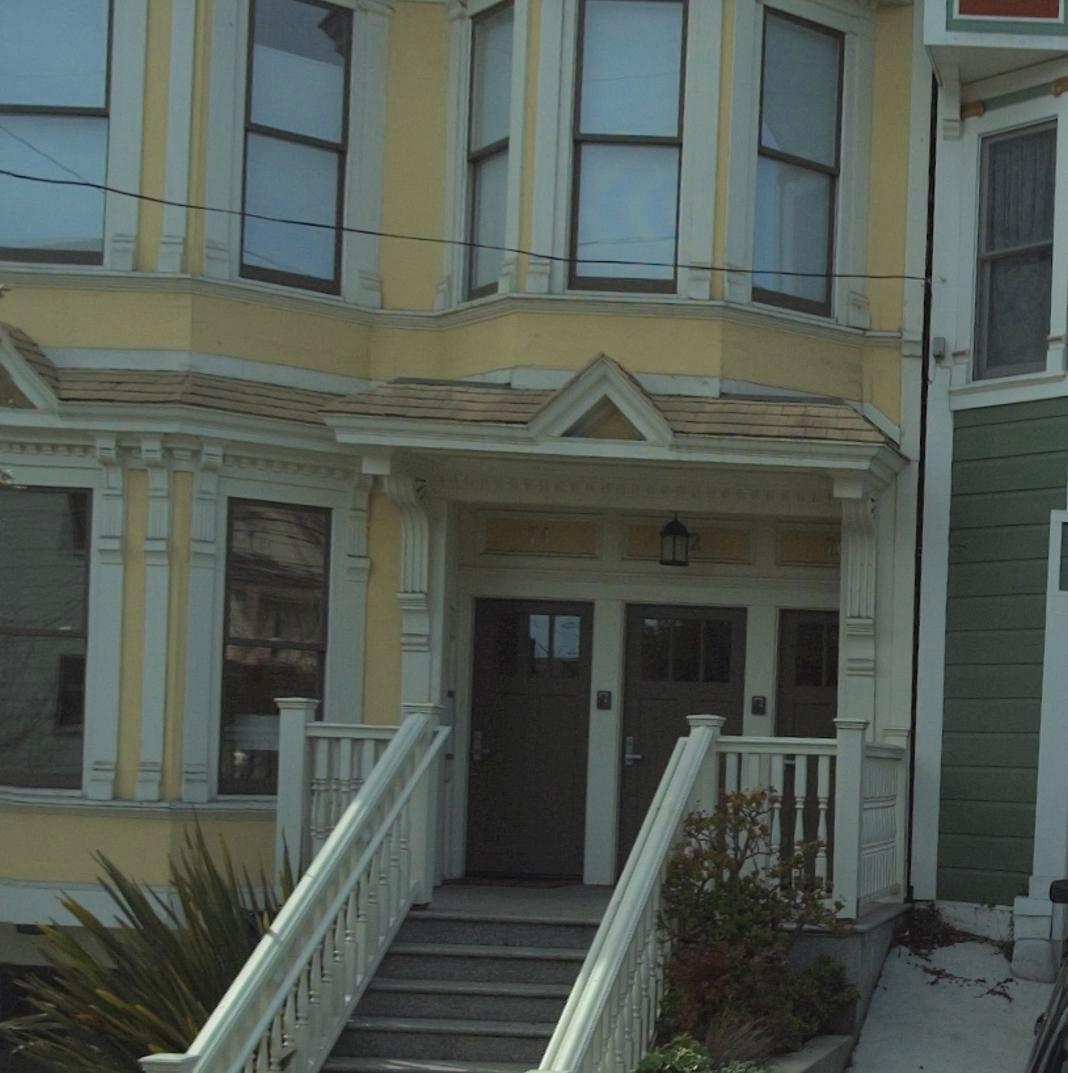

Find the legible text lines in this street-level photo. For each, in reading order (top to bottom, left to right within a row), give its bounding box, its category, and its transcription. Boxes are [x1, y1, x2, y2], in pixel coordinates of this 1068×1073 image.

[522, 525, 552, 550] StreetNumber: 74
[688, 531, 702, 550] StreetNumber: 2
[822, 535, 838, 559] StreetNumber: 7